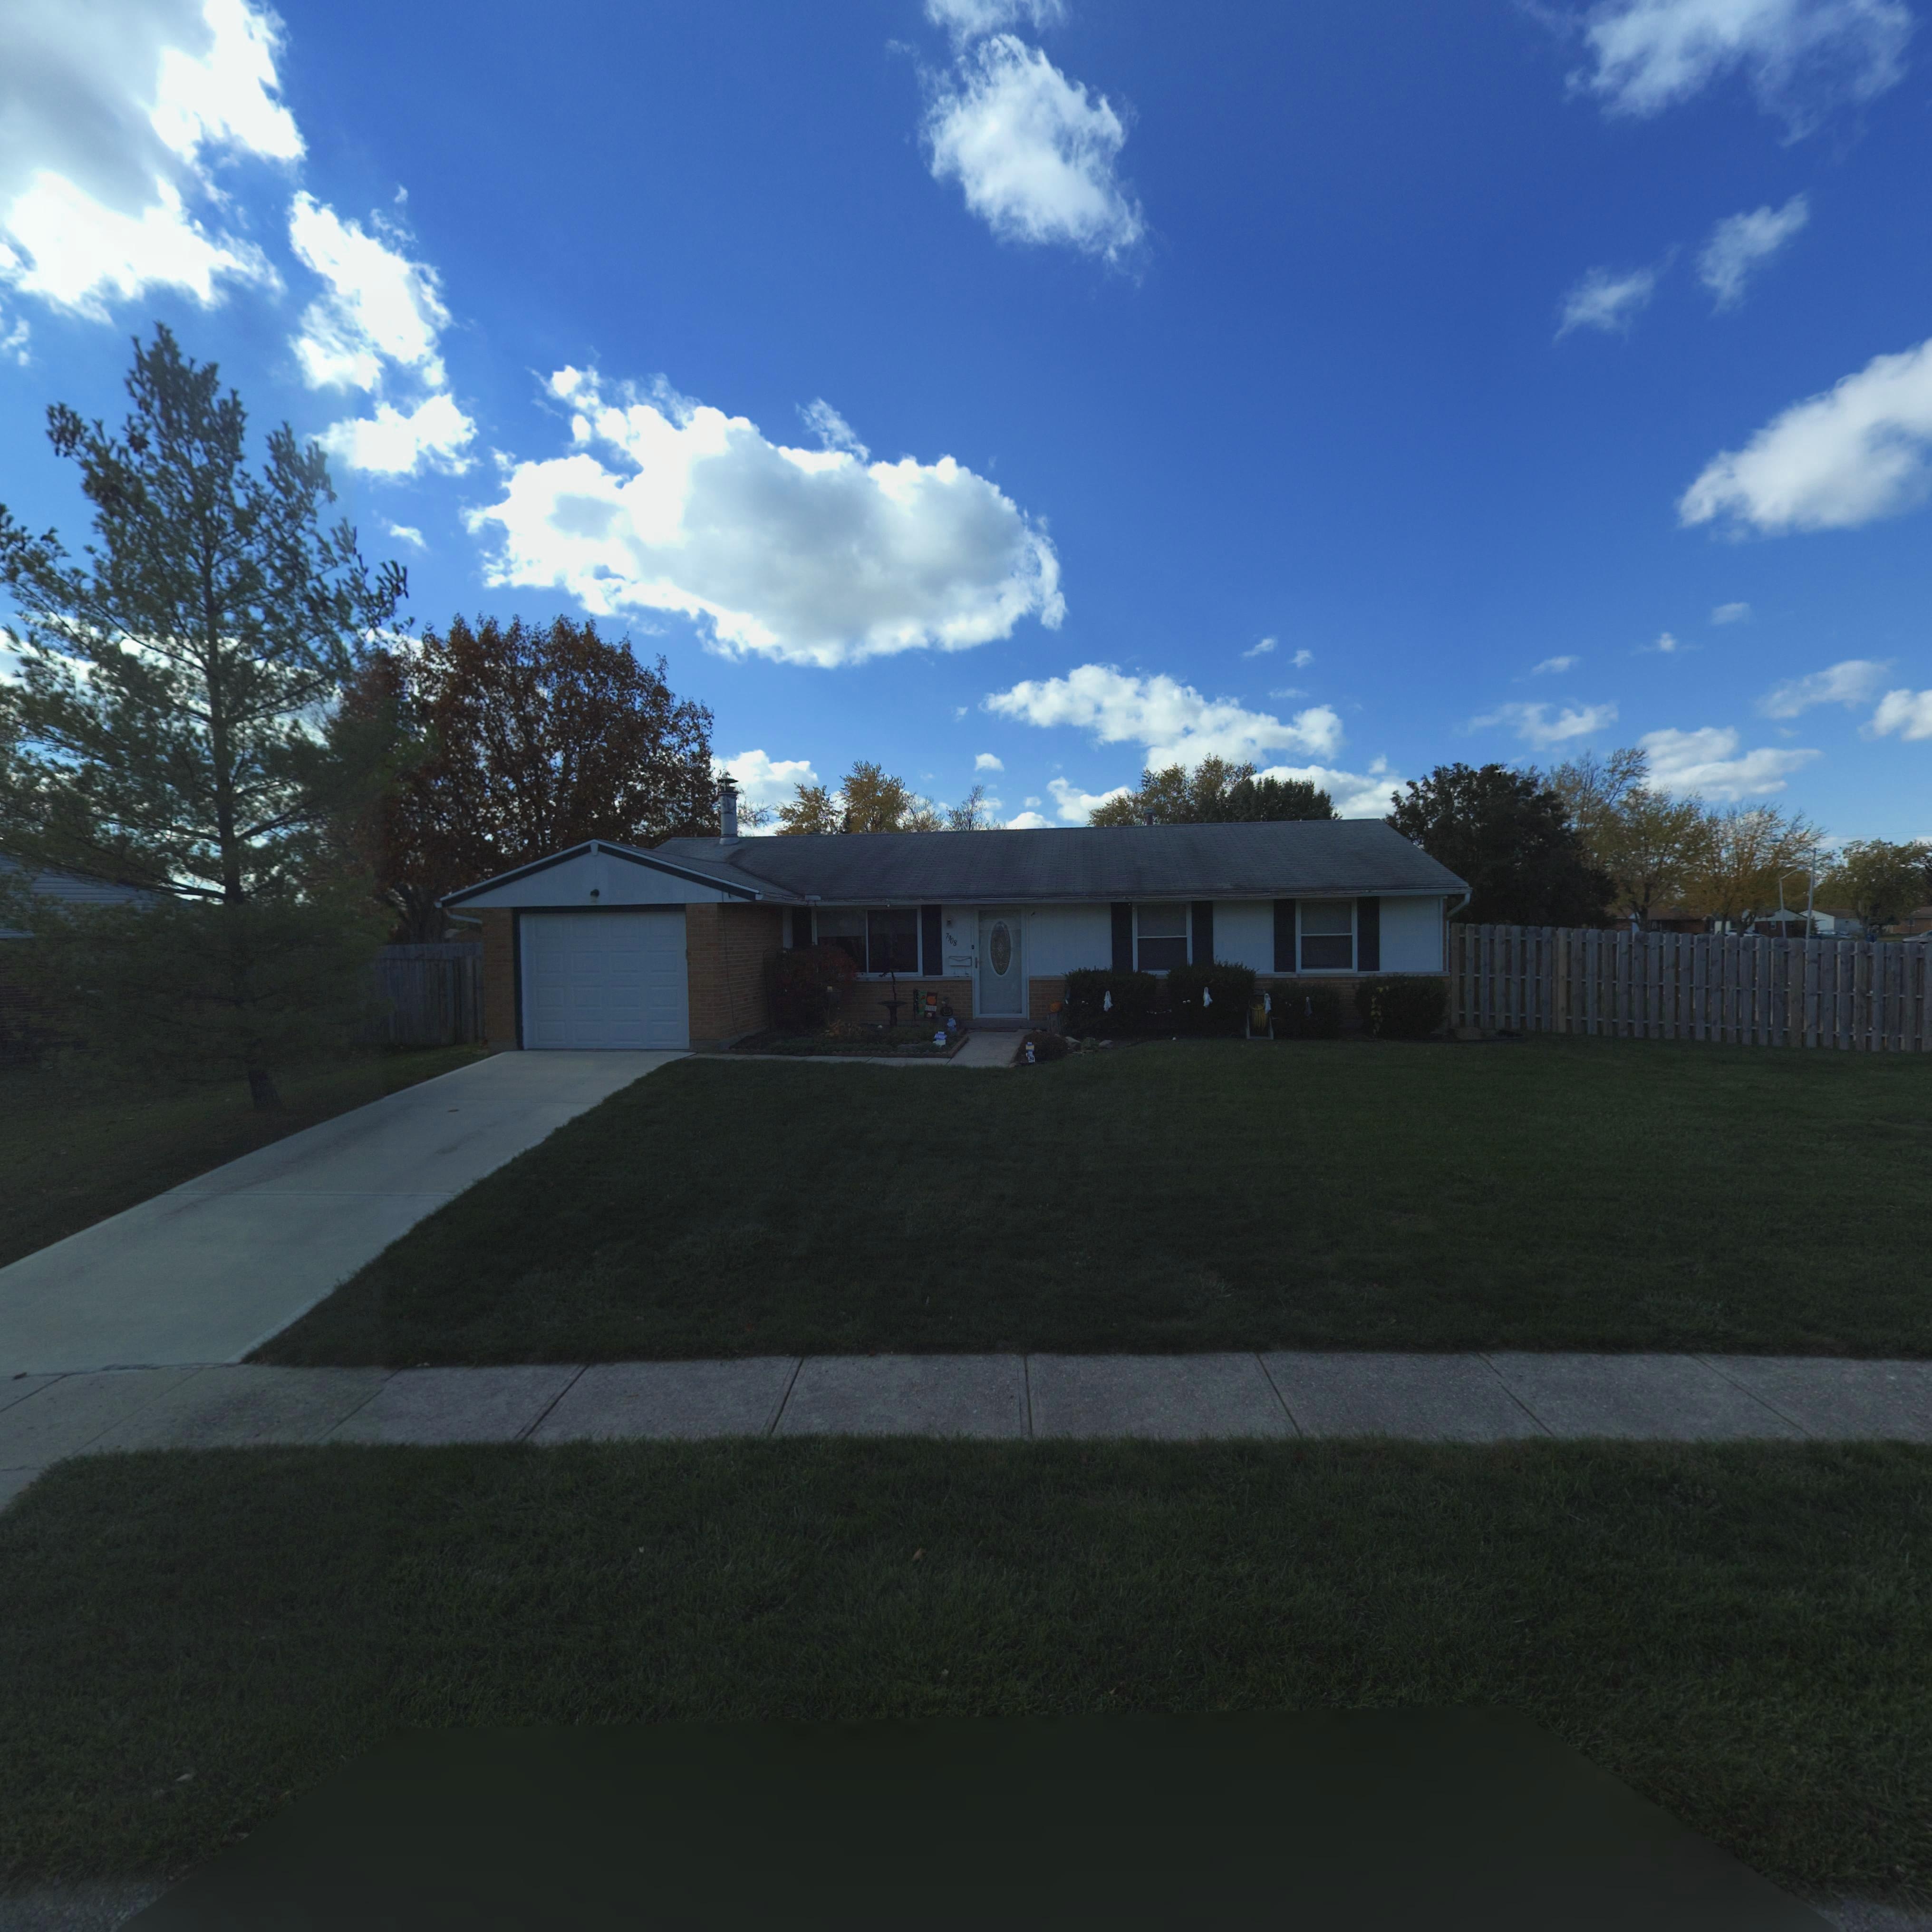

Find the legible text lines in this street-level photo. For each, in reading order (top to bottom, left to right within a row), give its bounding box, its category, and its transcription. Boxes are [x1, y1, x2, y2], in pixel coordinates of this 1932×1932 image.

[945, 932, 958, 947] StreetNumber: 7908